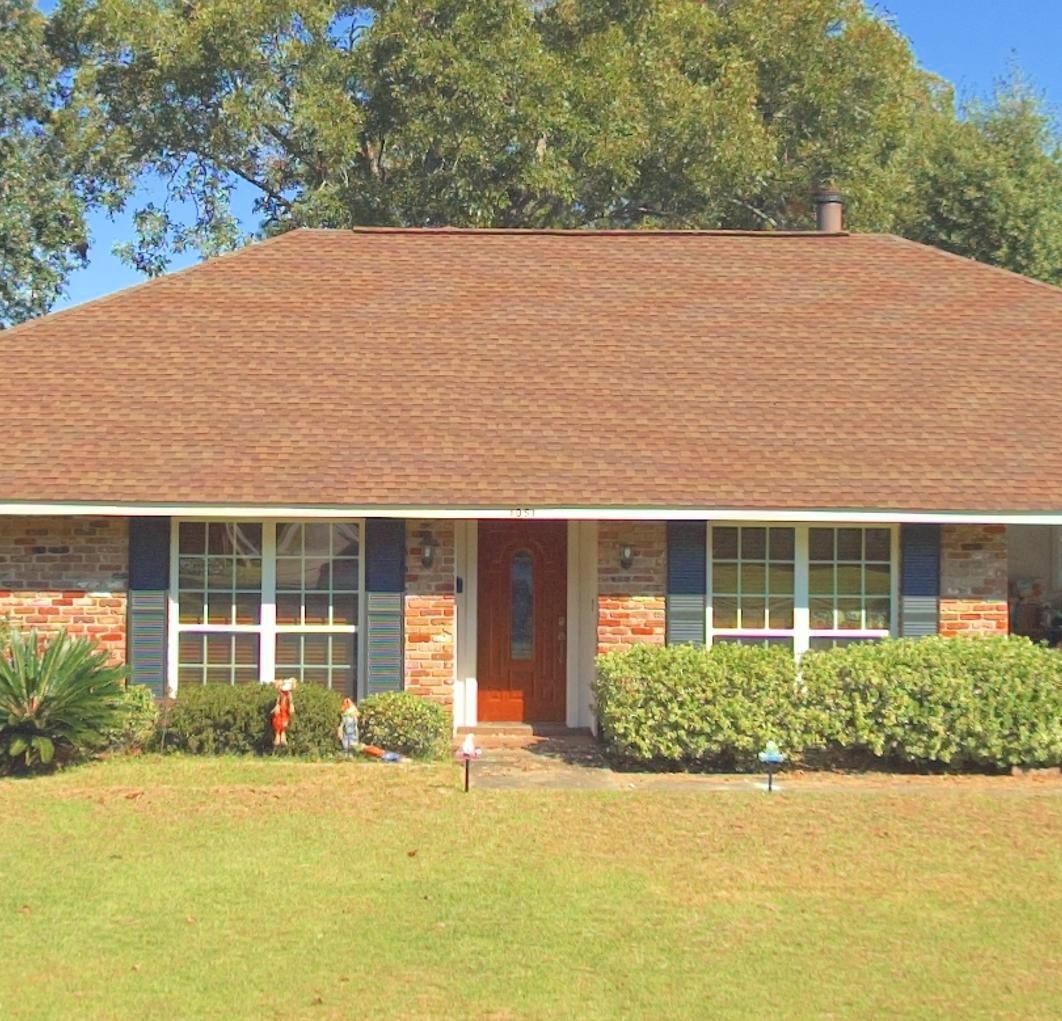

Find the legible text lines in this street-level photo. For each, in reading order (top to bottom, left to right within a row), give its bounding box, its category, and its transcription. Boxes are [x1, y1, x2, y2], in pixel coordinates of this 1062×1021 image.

[508, 507, 537, 519] StreetNumber: 1051